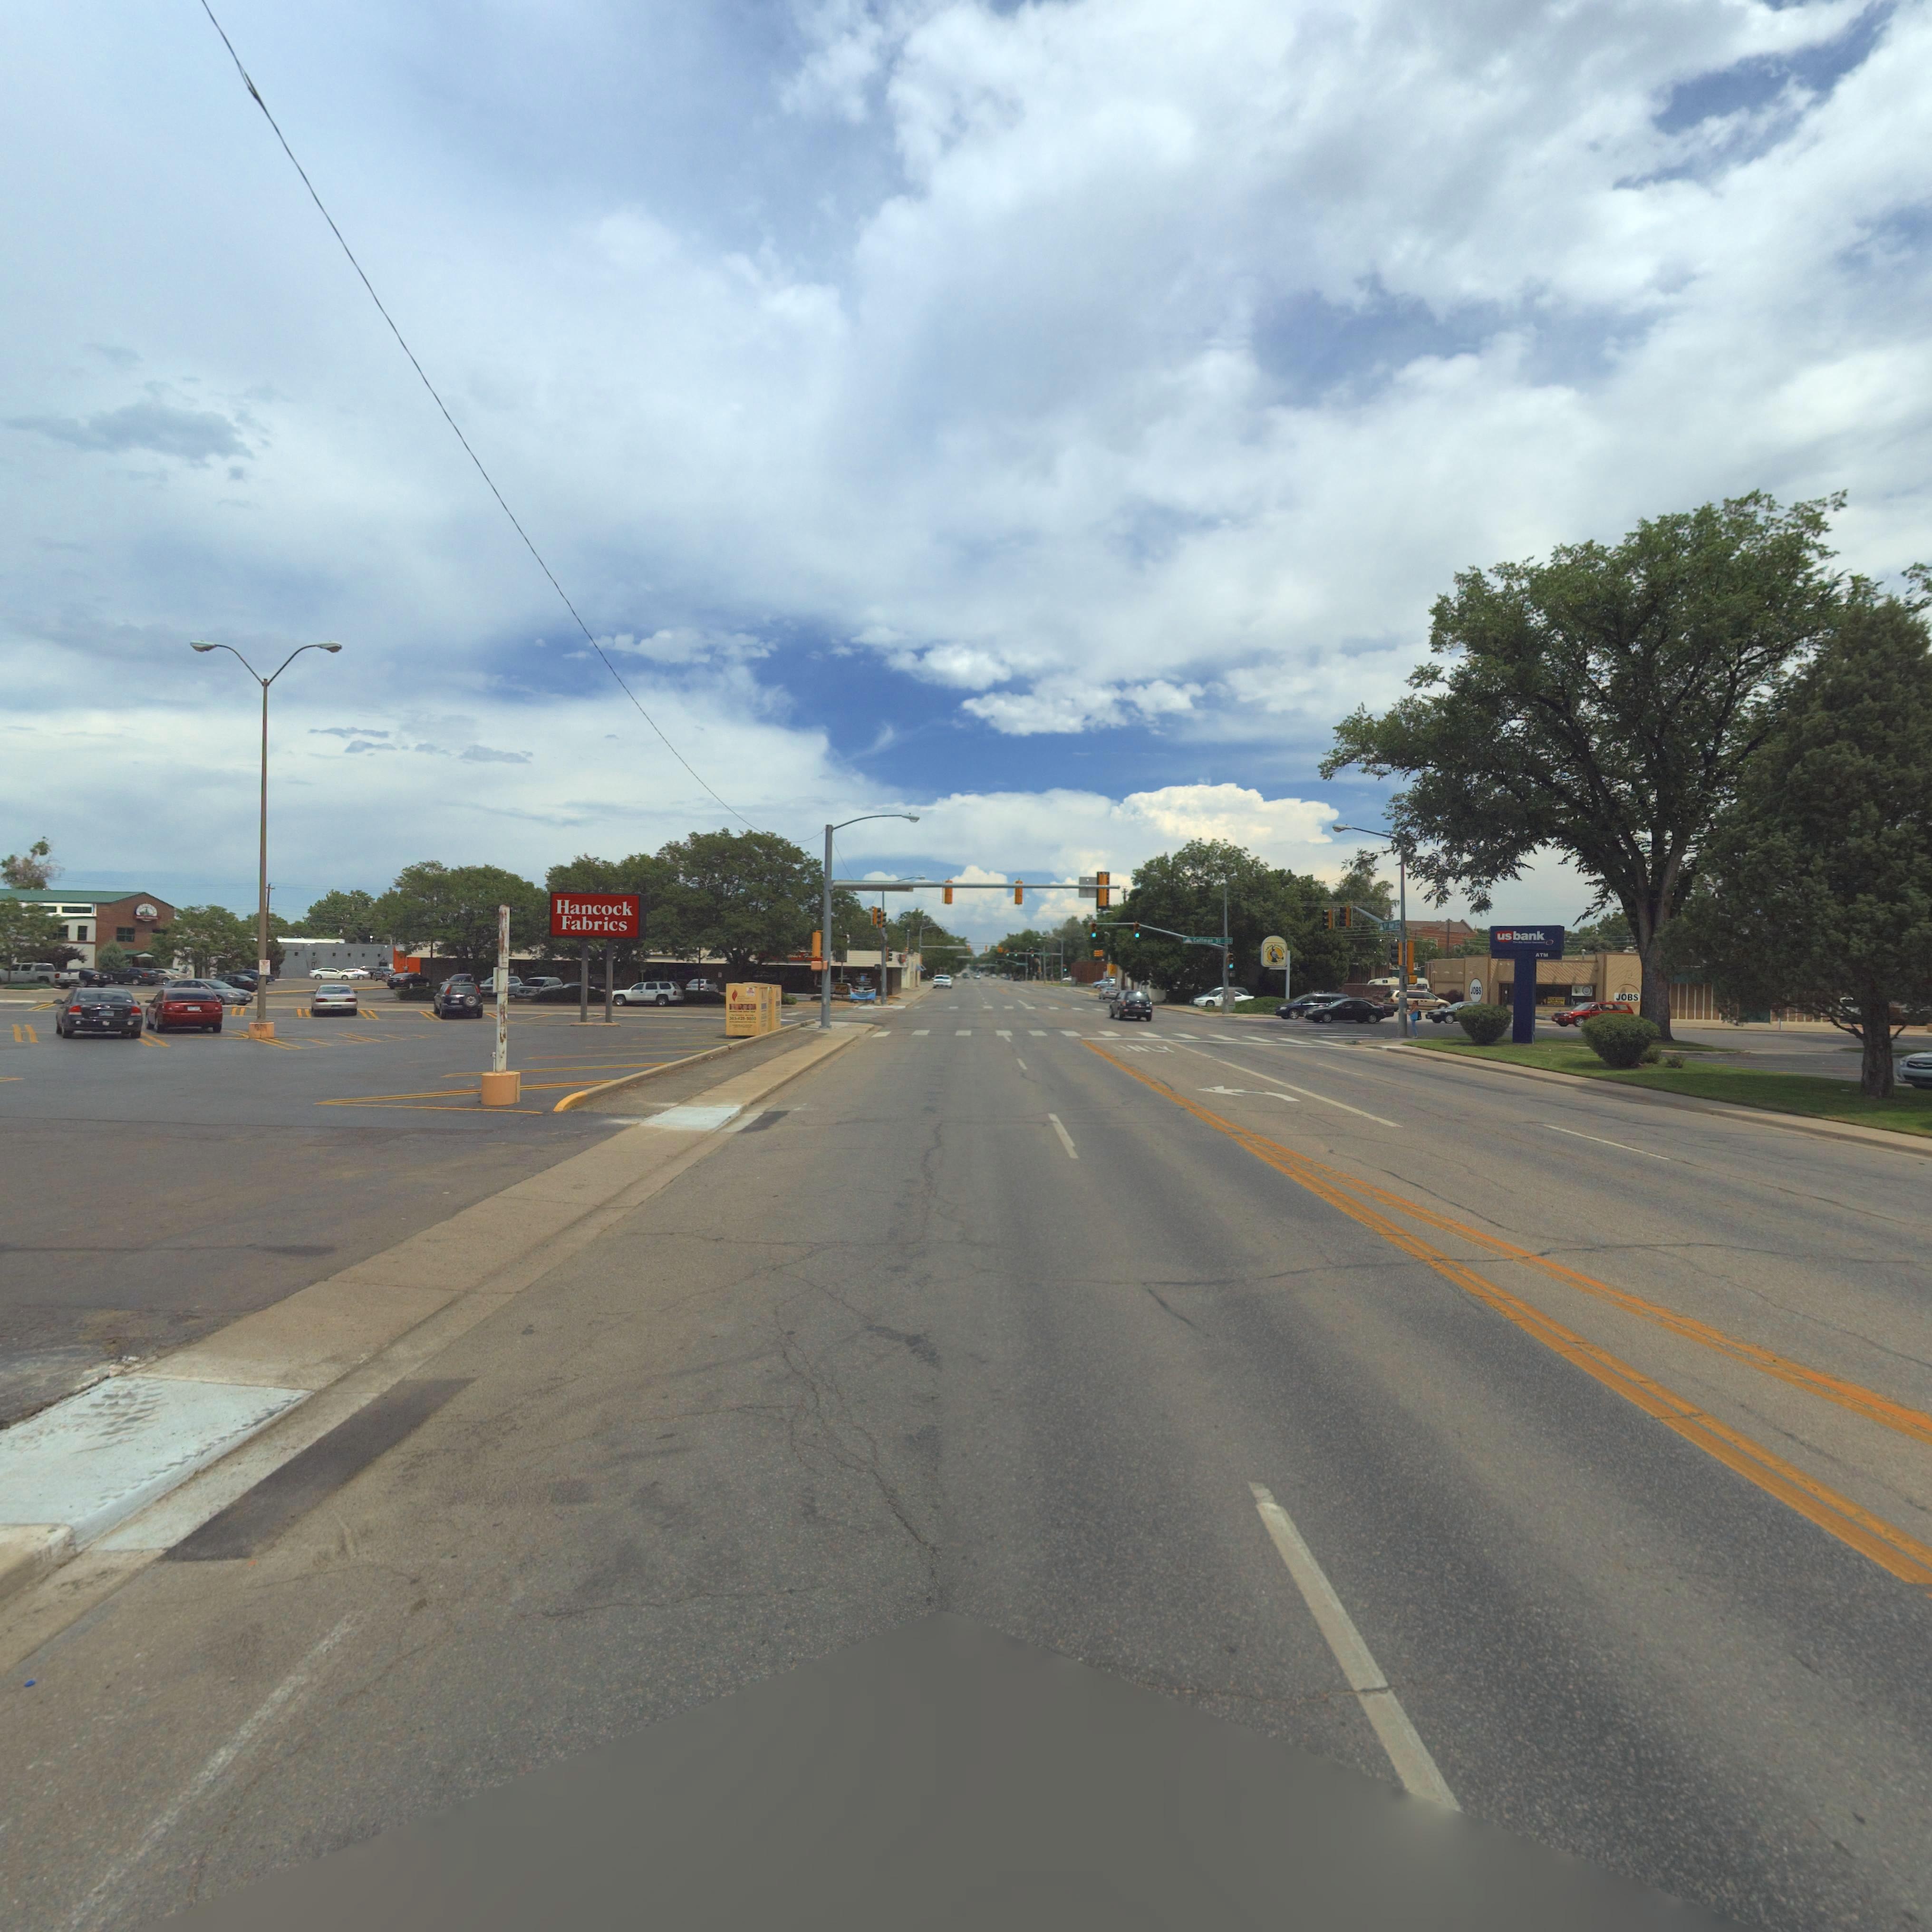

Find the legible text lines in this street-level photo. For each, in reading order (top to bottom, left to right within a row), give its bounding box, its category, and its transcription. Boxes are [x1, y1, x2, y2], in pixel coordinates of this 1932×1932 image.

[555, 899, 633, 916] BusinessName: Hancock
[560, 915, 627, 932] BusinessName: Fabrics
[1383, 922, 1393, 930] StreetName: 9** A**
[1193, 937, 1220, 943] StreetName: Co****n St
[1496, 930, 1546, 940] BusinessName: usbank